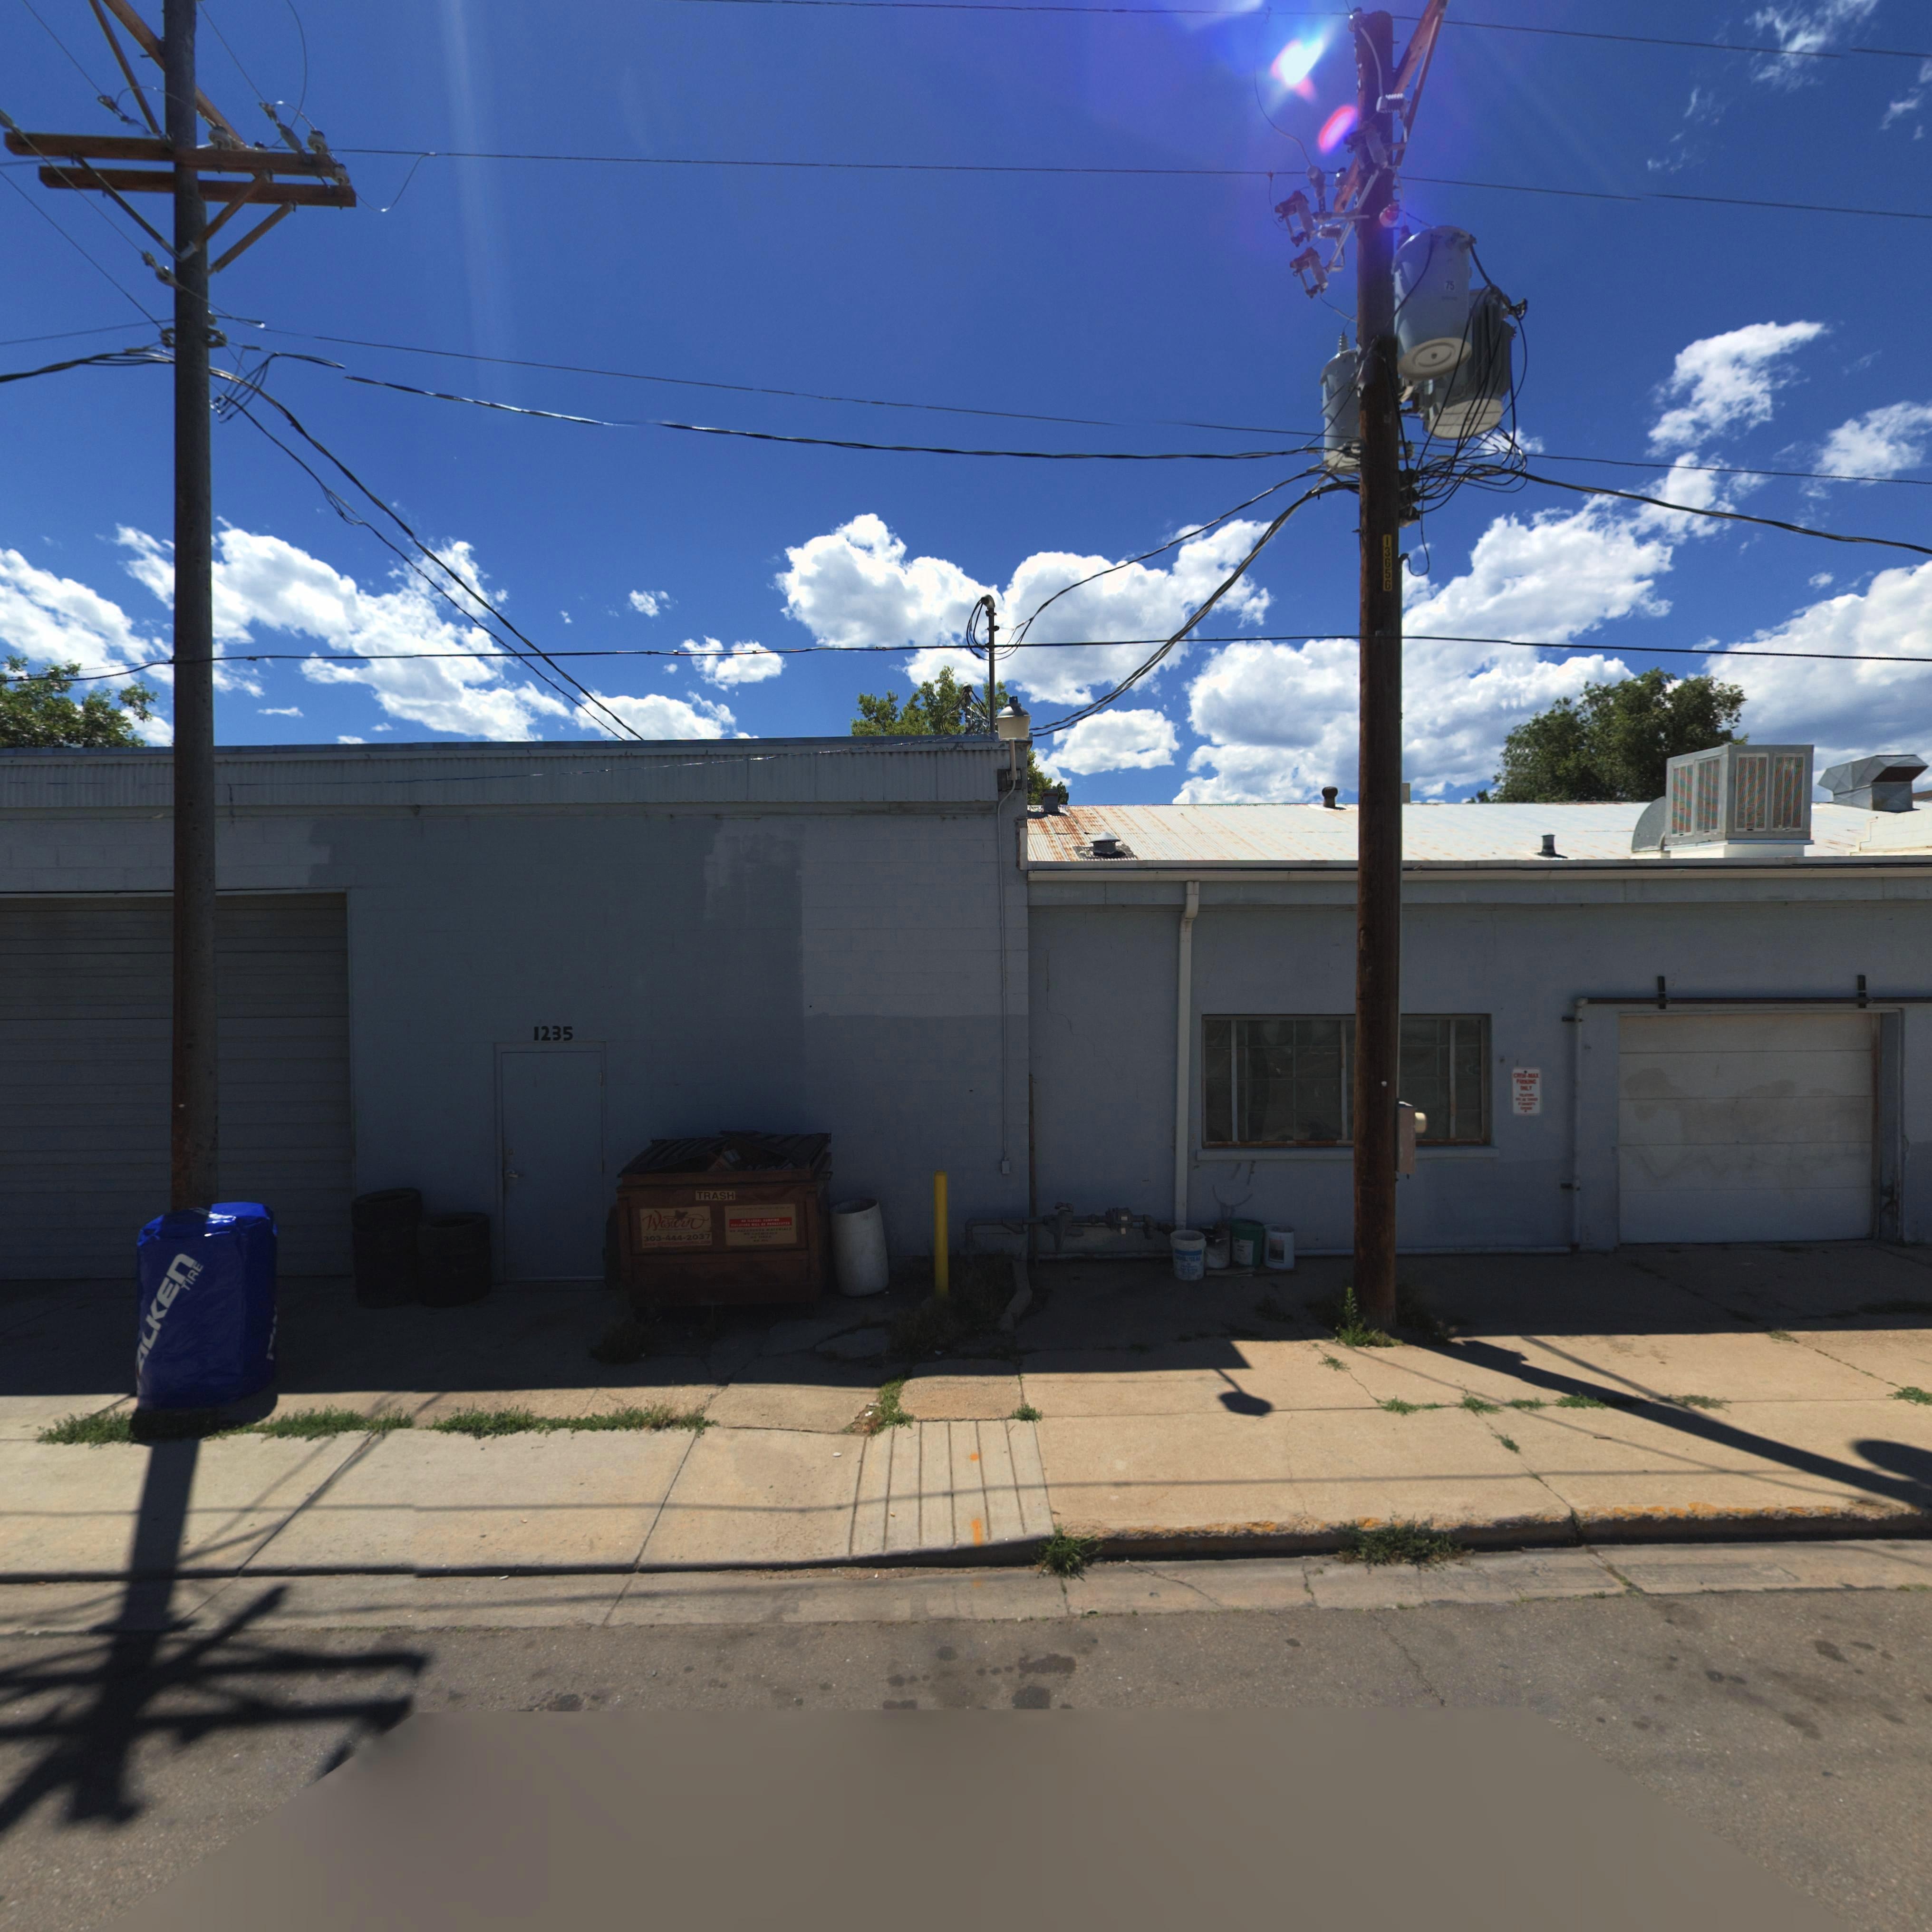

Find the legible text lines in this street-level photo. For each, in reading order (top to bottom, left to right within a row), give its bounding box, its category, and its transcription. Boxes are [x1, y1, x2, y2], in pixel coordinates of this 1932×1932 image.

[533, 1025, 574, 1041] StreetNumber: 1235